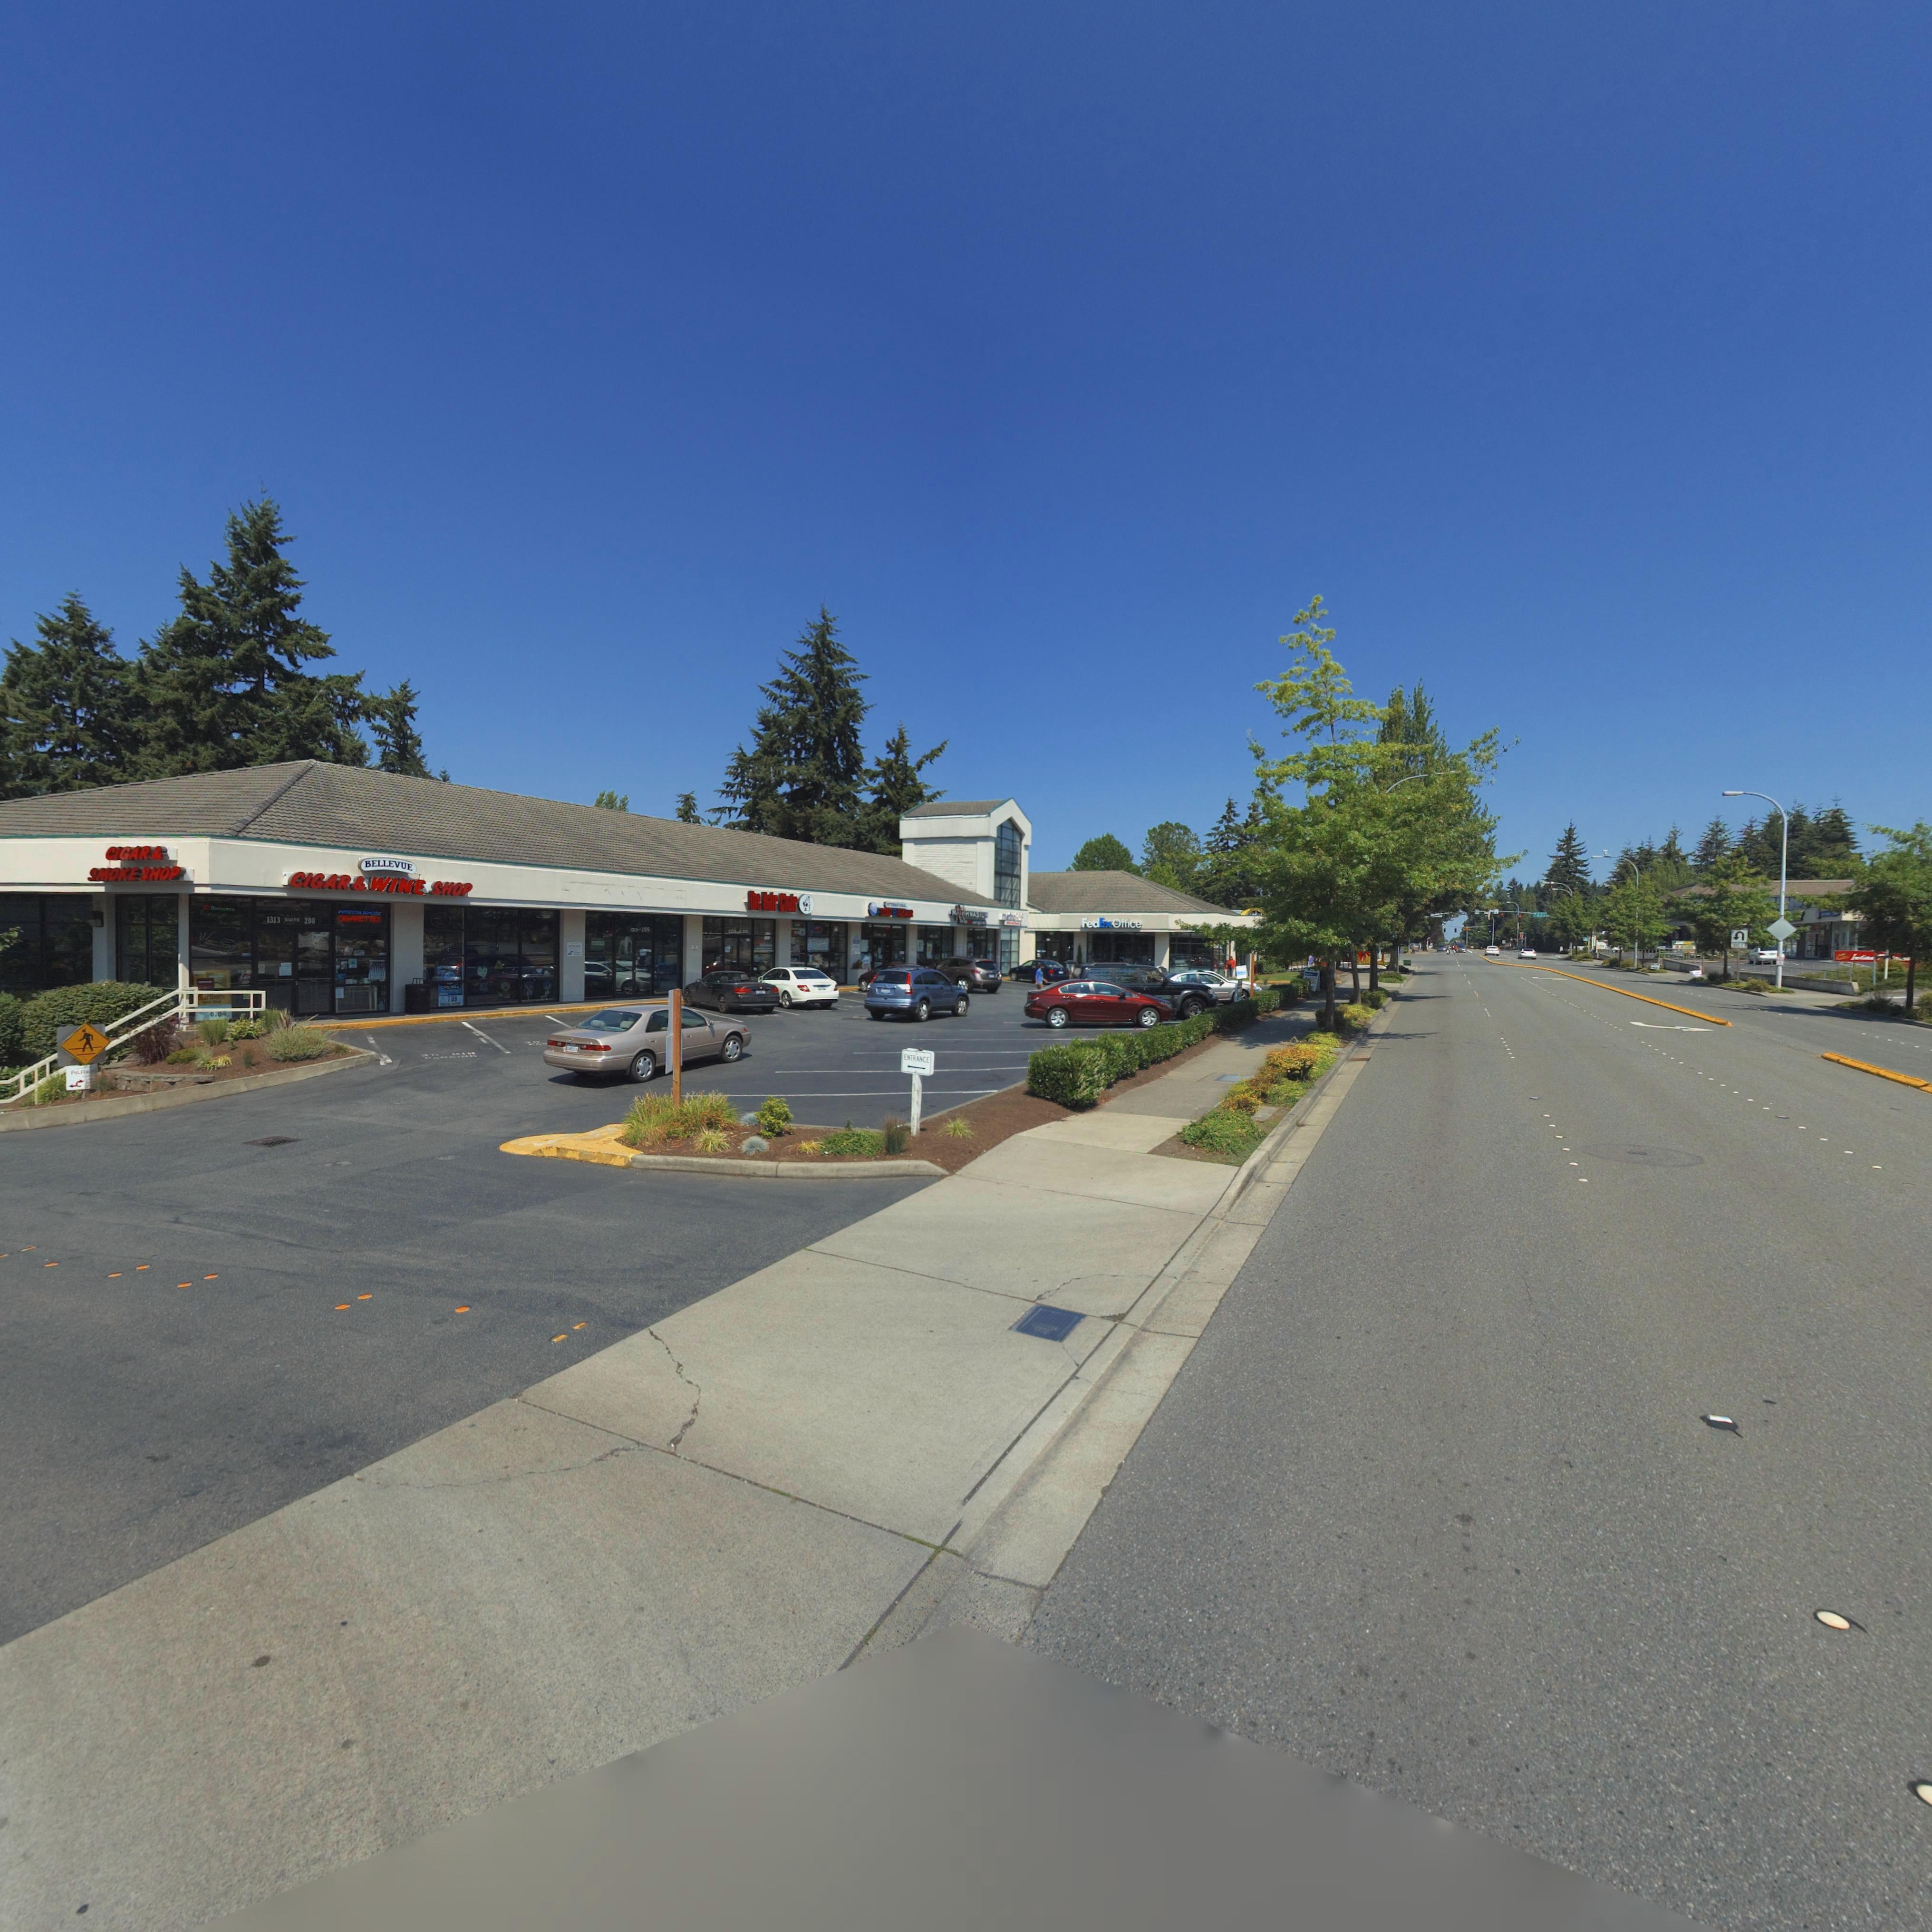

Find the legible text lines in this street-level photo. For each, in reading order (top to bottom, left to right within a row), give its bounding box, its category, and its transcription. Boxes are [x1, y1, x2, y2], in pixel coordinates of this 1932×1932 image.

[105, 844, 171, 861] BusinessName: CIGAR*
[365, 858, 413, 871] BusinessName: BELLEVUE
[86, 864, 184, 882] BusinessName: SMOKE SHOP
[287, 869, 476, 898] BusinessName: CIGAR*WINE SHOP
[747, 889, 798, 913] BusinessName: The Hair C****
[266, 915, 281, 924] StreetNumber: 1313
[877, 907, 913, 918] BusinessName: FOODBAZAAR
[969, 910, 988, 919] BusinessName: *ASIU*
[1001, 911, 1016, 920] BusinessName: metro
[1081, 917, 1143, 928] BusinessName: FedExOffice